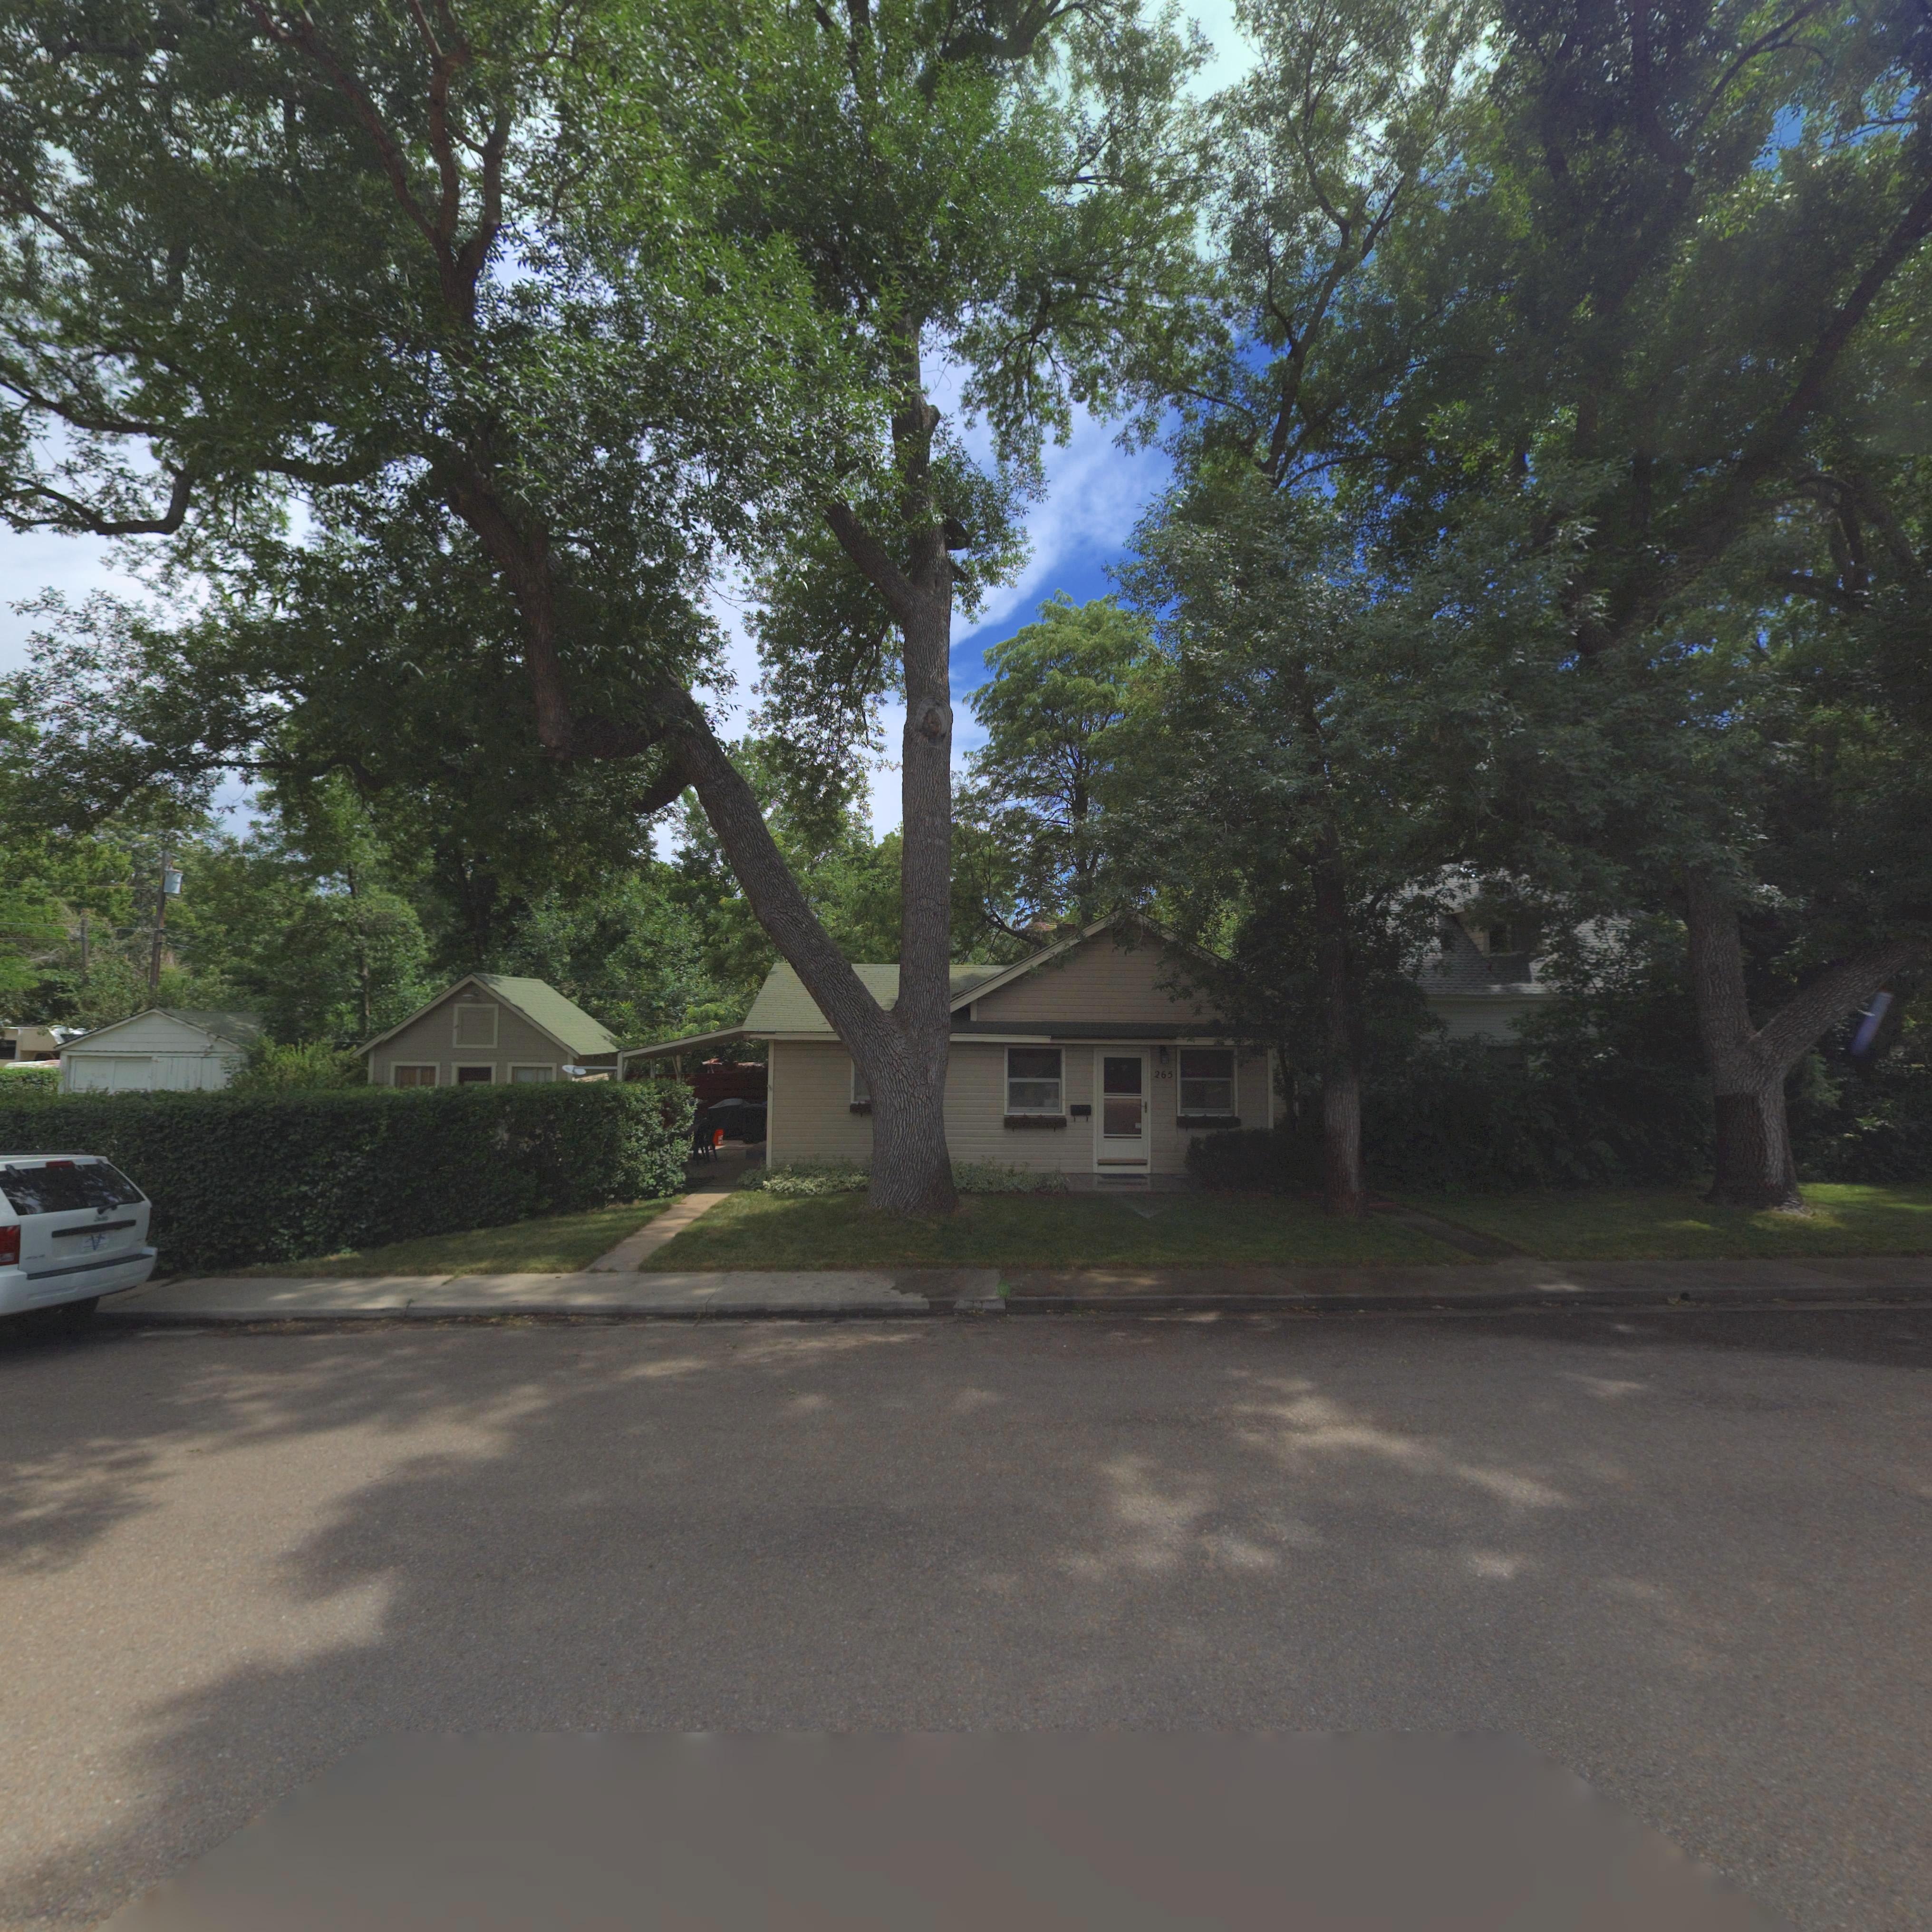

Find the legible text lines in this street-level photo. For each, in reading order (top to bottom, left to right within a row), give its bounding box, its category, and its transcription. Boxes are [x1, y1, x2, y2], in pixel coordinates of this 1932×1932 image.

[1154, 1070, 1173, 1078] StreetNumber: 265